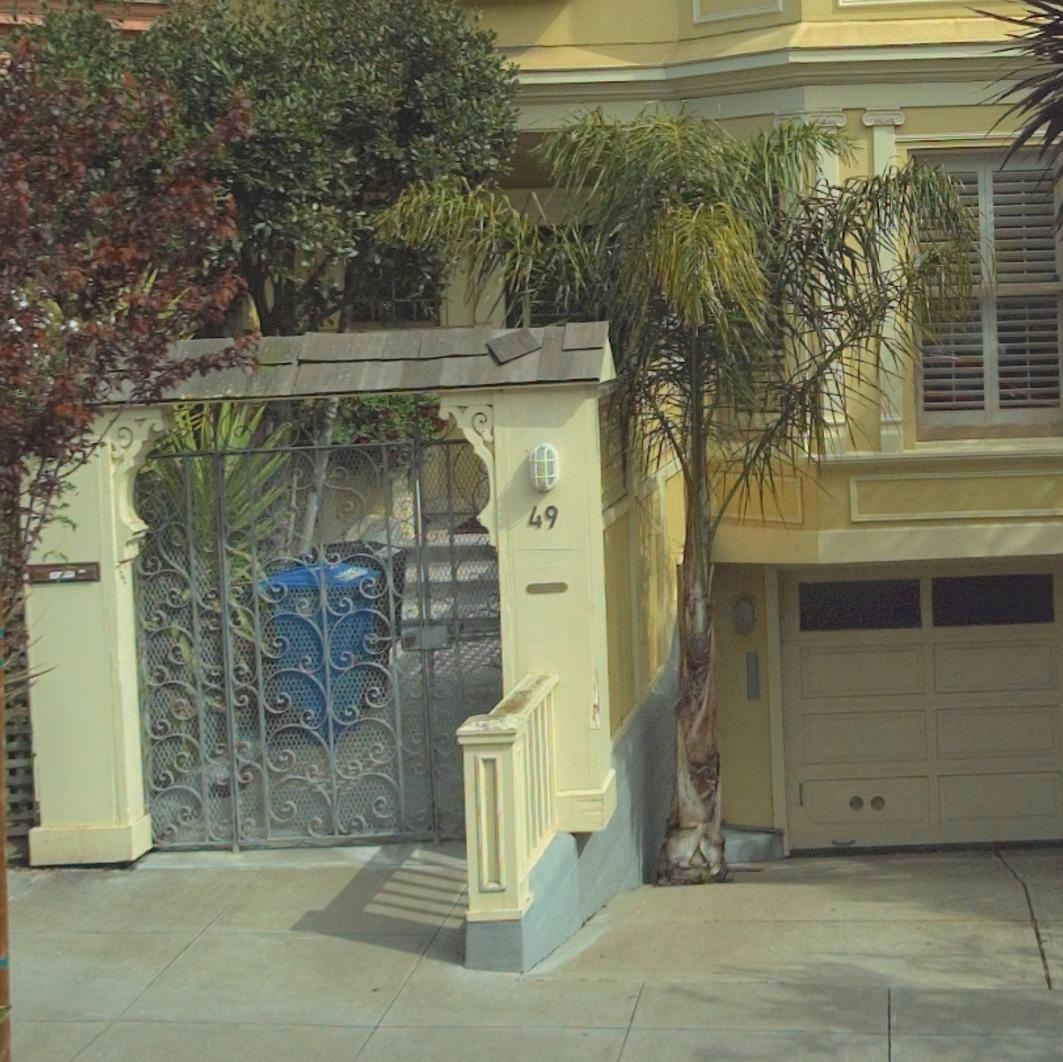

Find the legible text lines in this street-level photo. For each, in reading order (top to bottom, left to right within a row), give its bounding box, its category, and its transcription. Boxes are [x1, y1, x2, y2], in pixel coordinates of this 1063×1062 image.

[527, 505, 559, 530] StreetNumber: 49